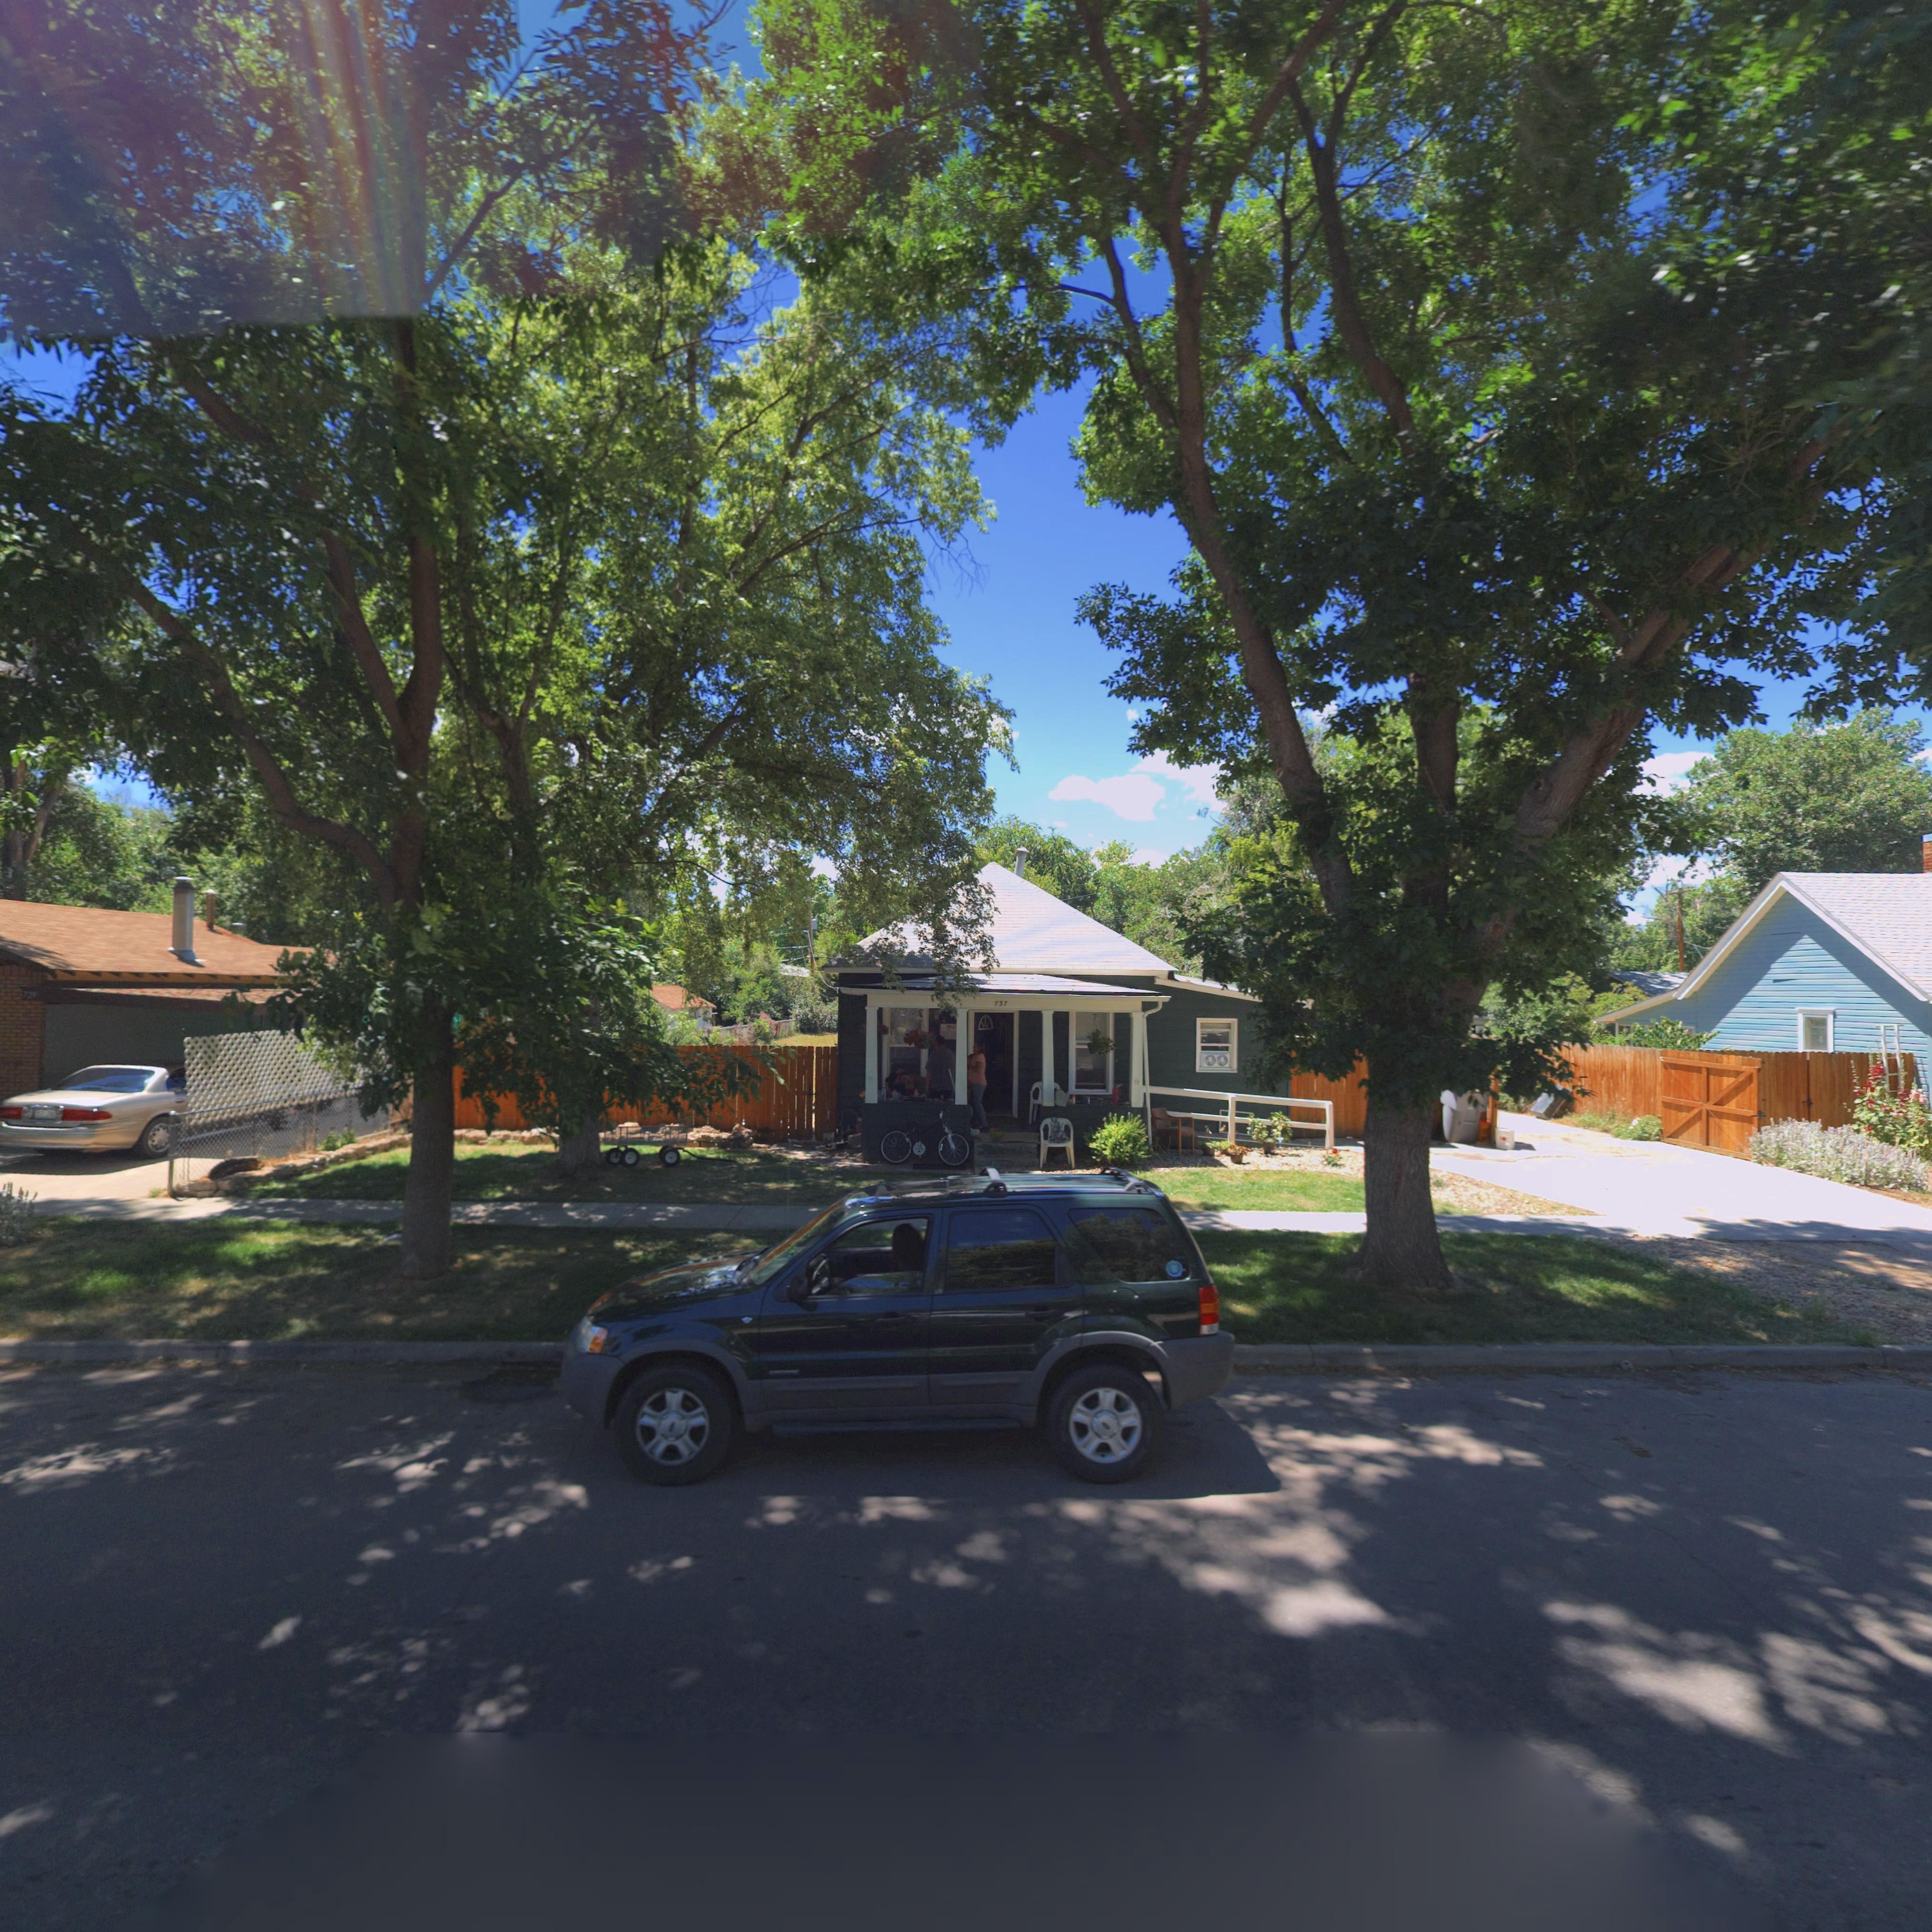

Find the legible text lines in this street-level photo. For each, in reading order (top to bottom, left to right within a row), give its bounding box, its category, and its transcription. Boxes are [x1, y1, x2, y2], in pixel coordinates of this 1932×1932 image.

[22, 990, 37, 999] StreetNumber: 72*
[994, 1000, 1008, 1006] StreetNumber: 737